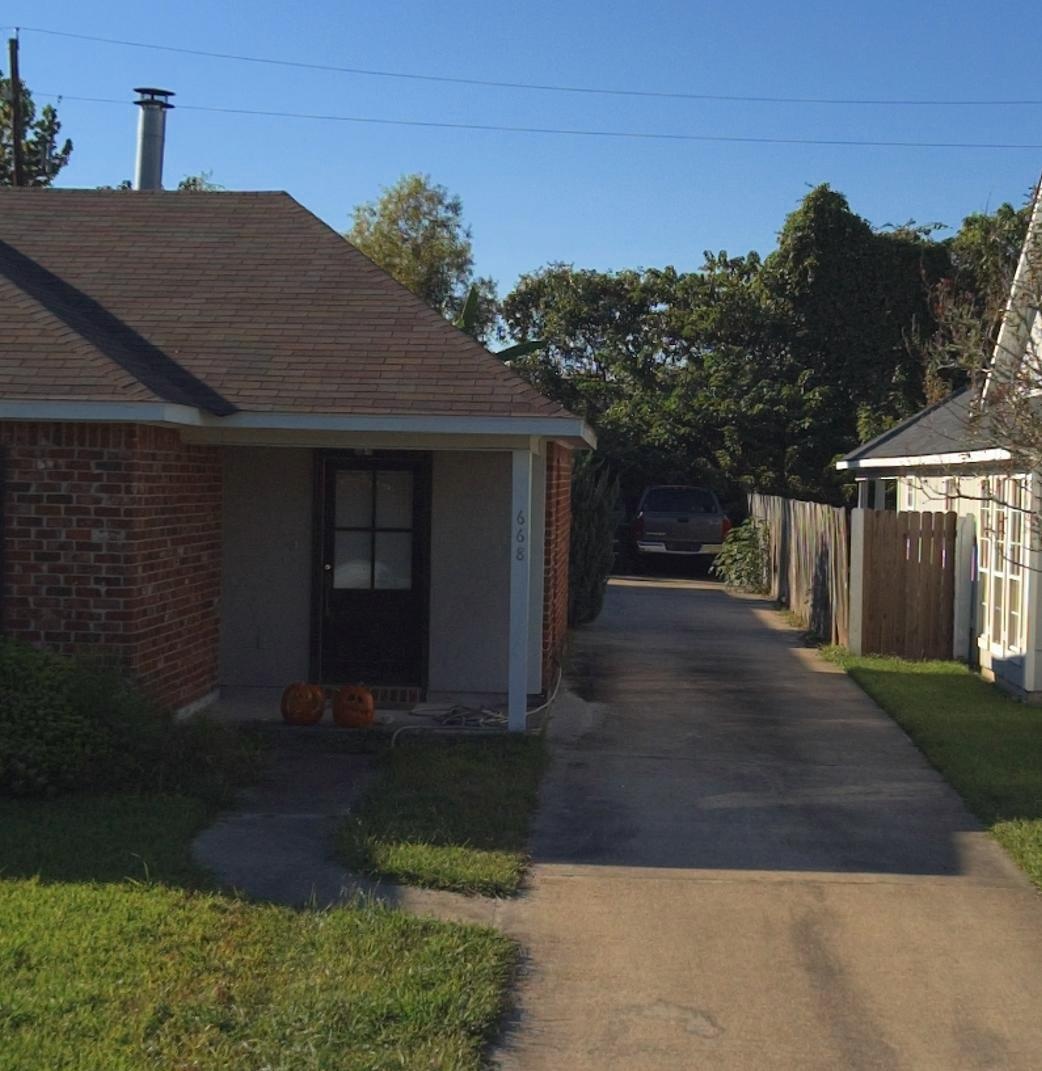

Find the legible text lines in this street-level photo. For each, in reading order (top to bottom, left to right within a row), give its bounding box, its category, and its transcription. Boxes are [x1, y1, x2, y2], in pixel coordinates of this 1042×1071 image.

[514, 508, 526, 562] StreetNumber: 668